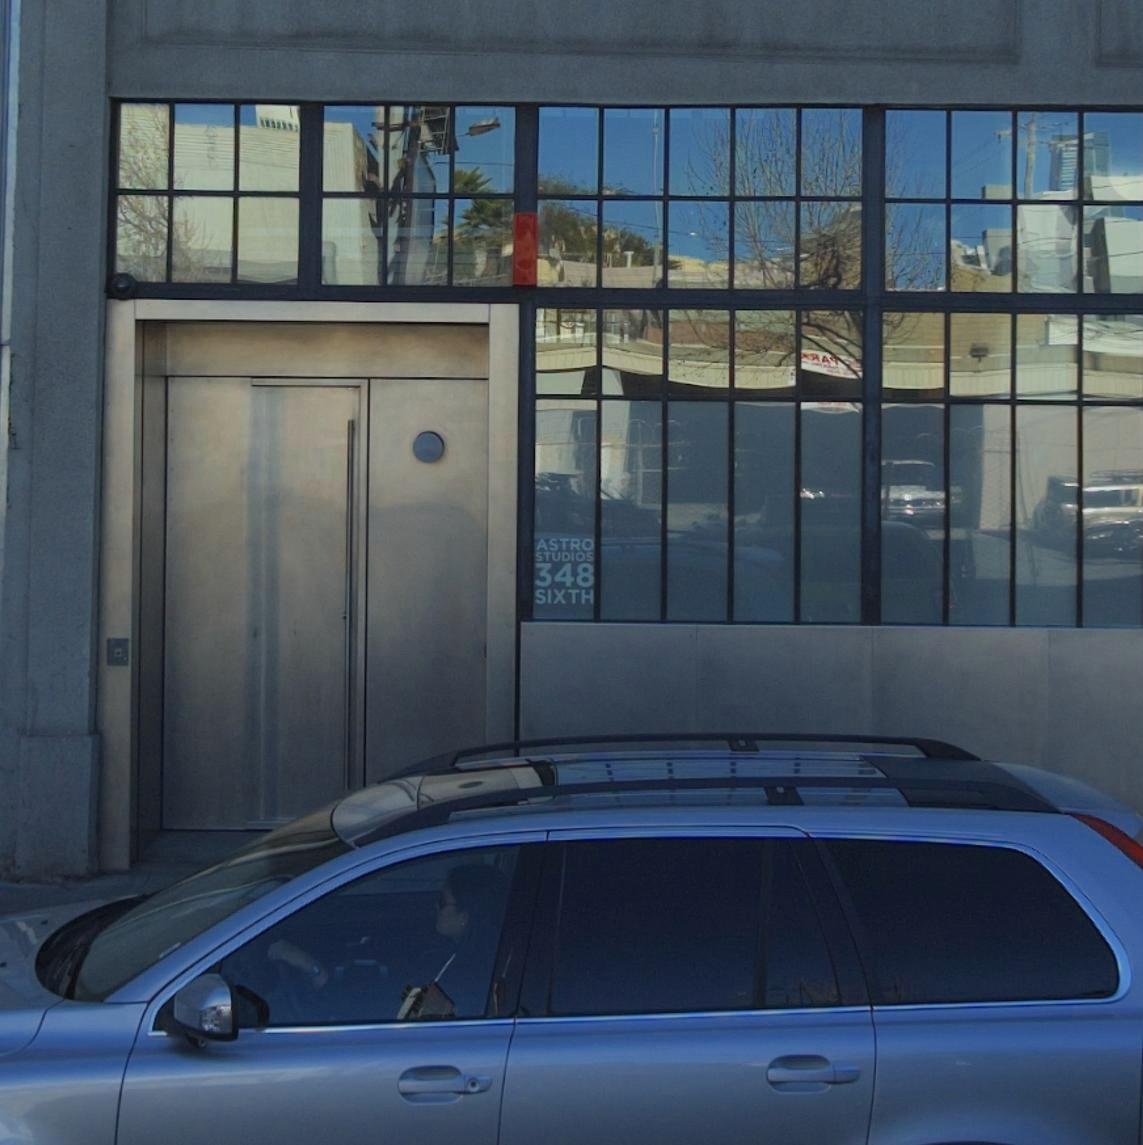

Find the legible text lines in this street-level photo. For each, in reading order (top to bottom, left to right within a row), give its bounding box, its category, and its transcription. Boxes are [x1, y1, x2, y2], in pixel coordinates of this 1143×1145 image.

[534, 537, 595, 551] BusinessName: ASTRO
[534, 551, 595, 562] BusinessName: STUDIOS
[534, 562, 596, 588] StreetNumber: 348
[533, 588, 595, 605] StreetName: SIXTH